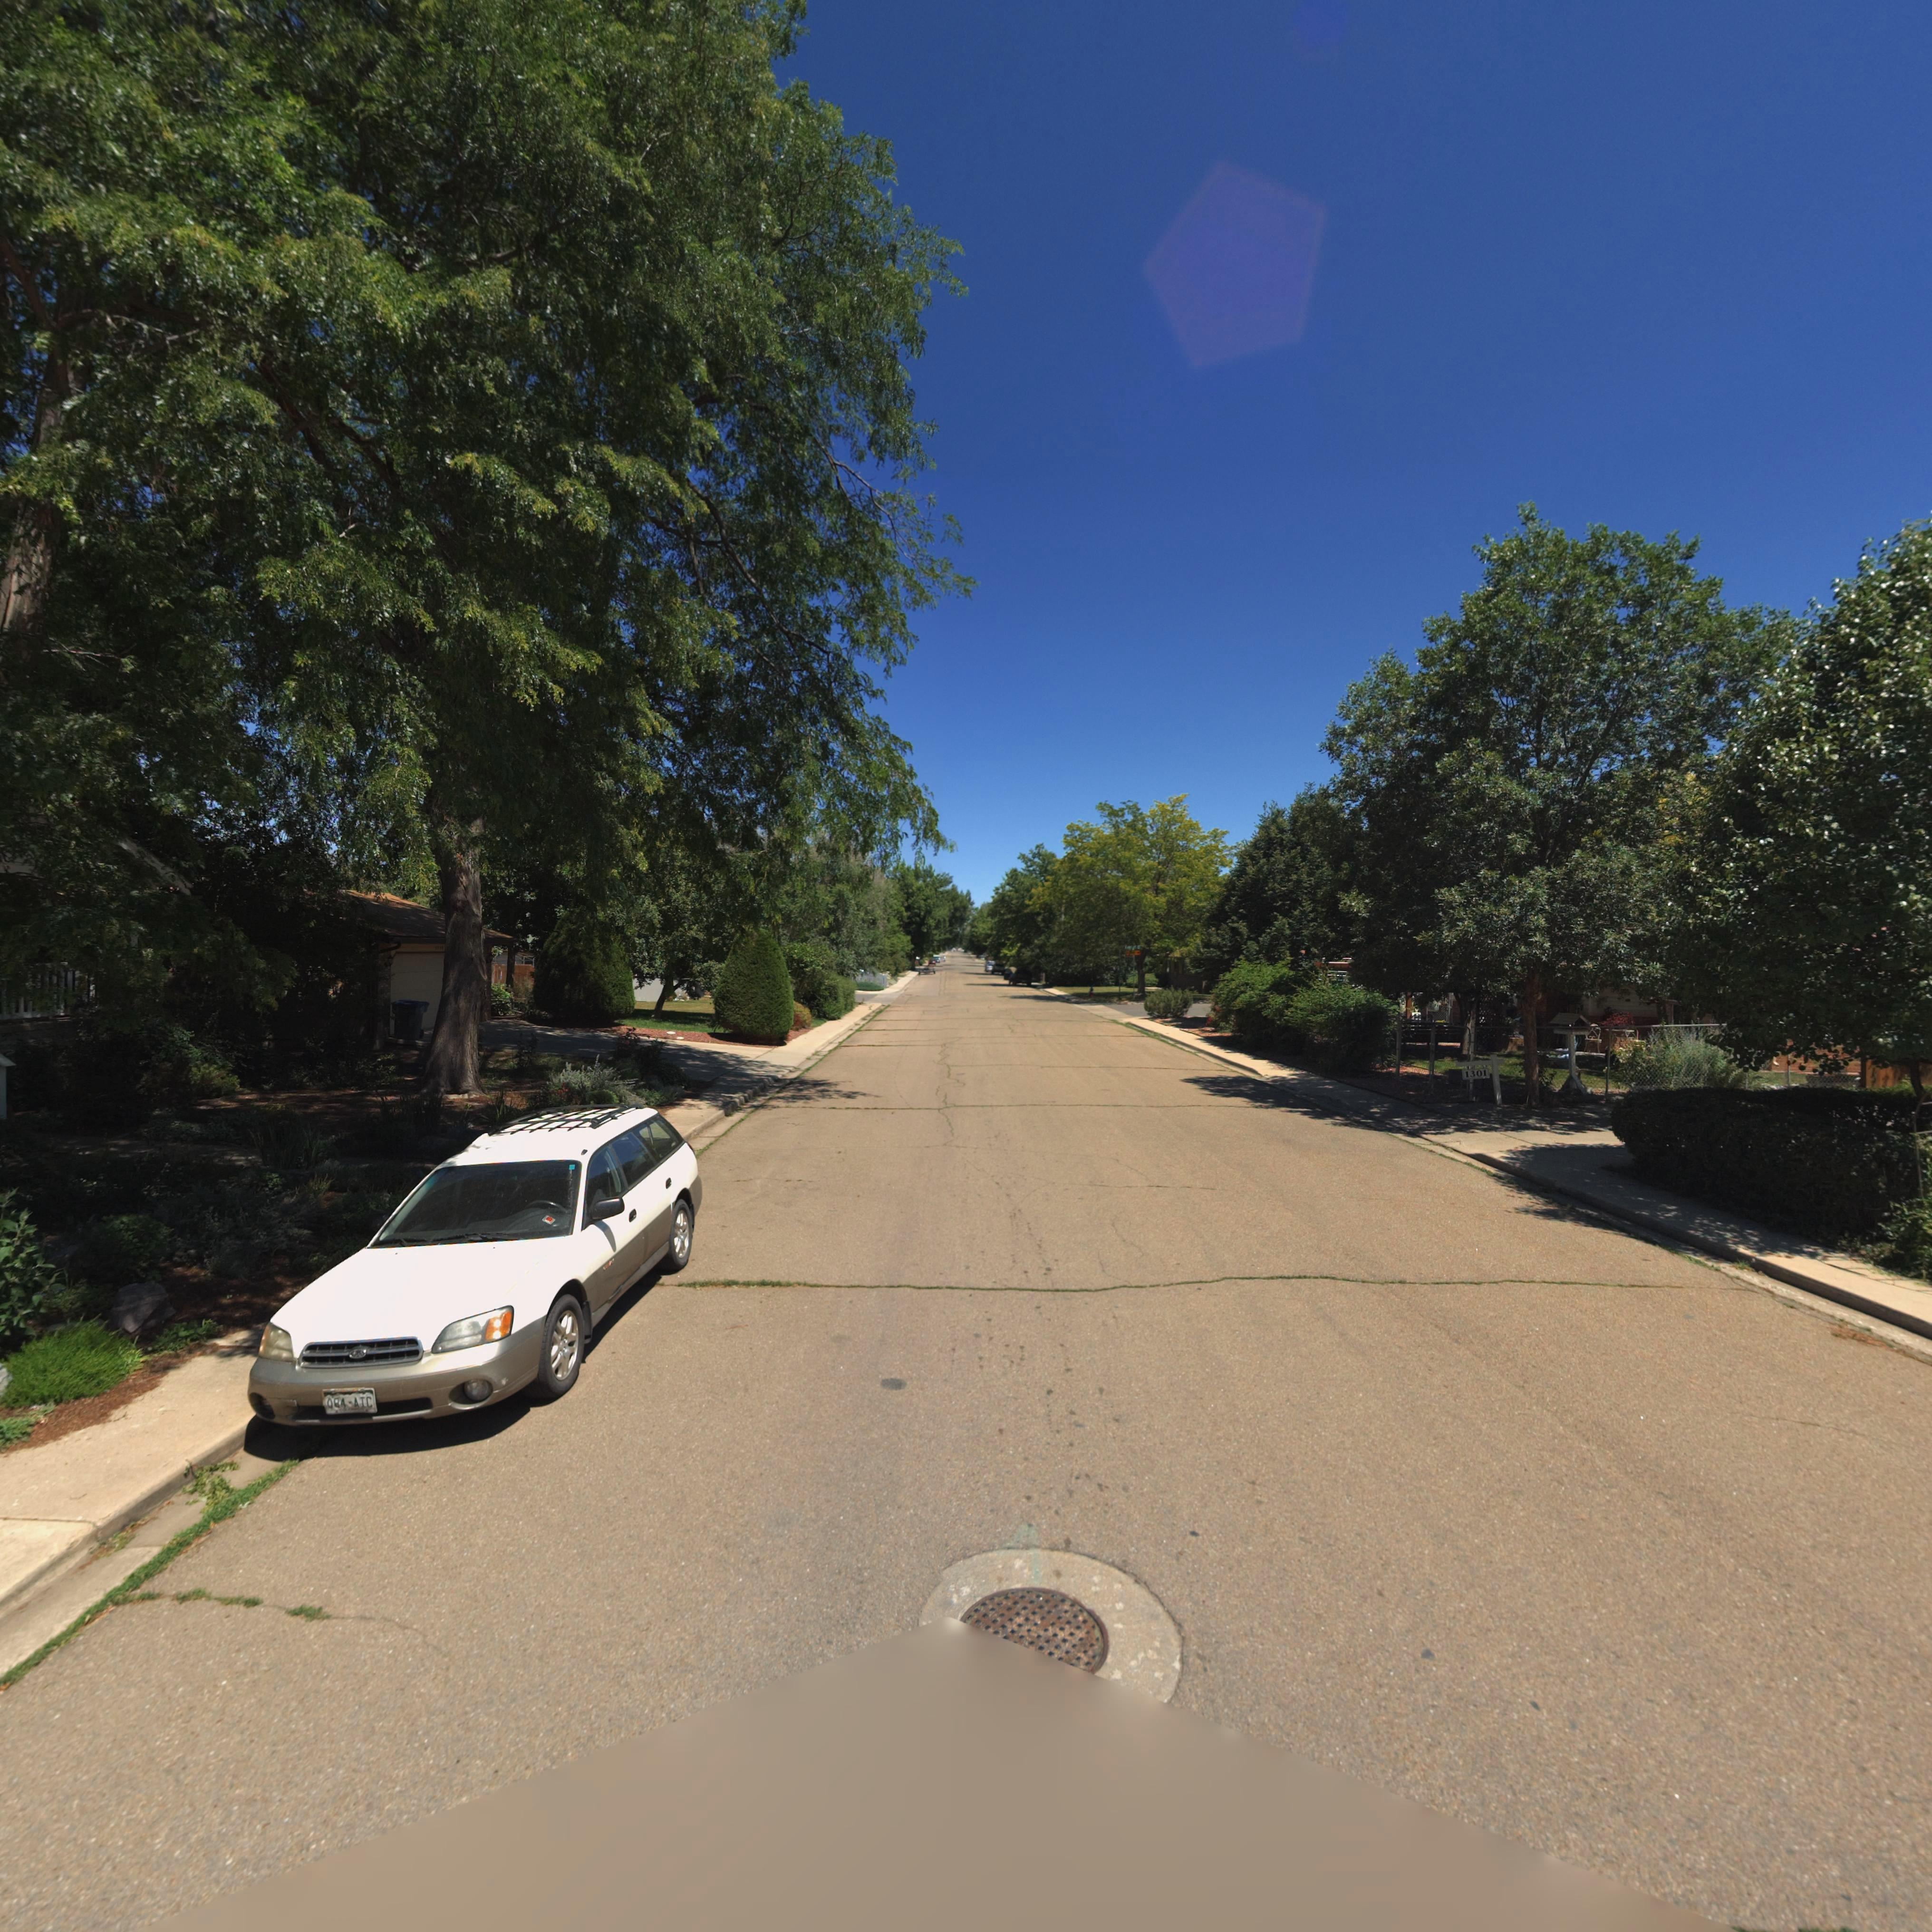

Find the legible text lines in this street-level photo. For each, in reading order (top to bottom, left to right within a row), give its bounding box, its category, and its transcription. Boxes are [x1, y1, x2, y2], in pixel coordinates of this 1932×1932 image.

[435, 945, 444, 950] StreetNumber: 1338
[1464, 1069, 1487, 1078] StreetNumber: 1301